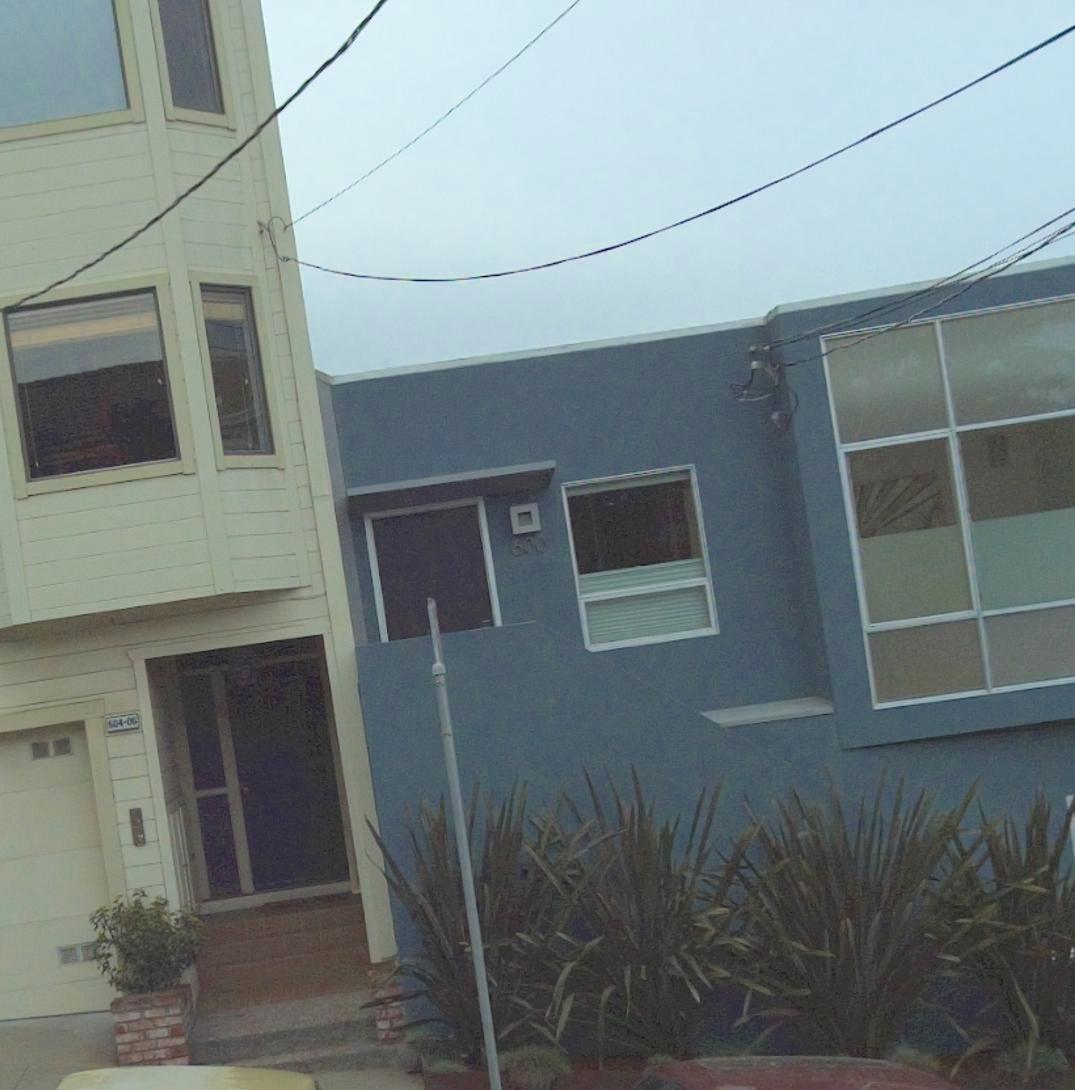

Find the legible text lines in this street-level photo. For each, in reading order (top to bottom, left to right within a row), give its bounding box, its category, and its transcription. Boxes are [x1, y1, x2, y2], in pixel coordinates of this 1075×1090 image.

[511, 534, 550, 558] StreetNumber: 600
[108, 718, 123, 730] StreetNumber: 604
[127, 716, 138, 726] StreetNumber: 06